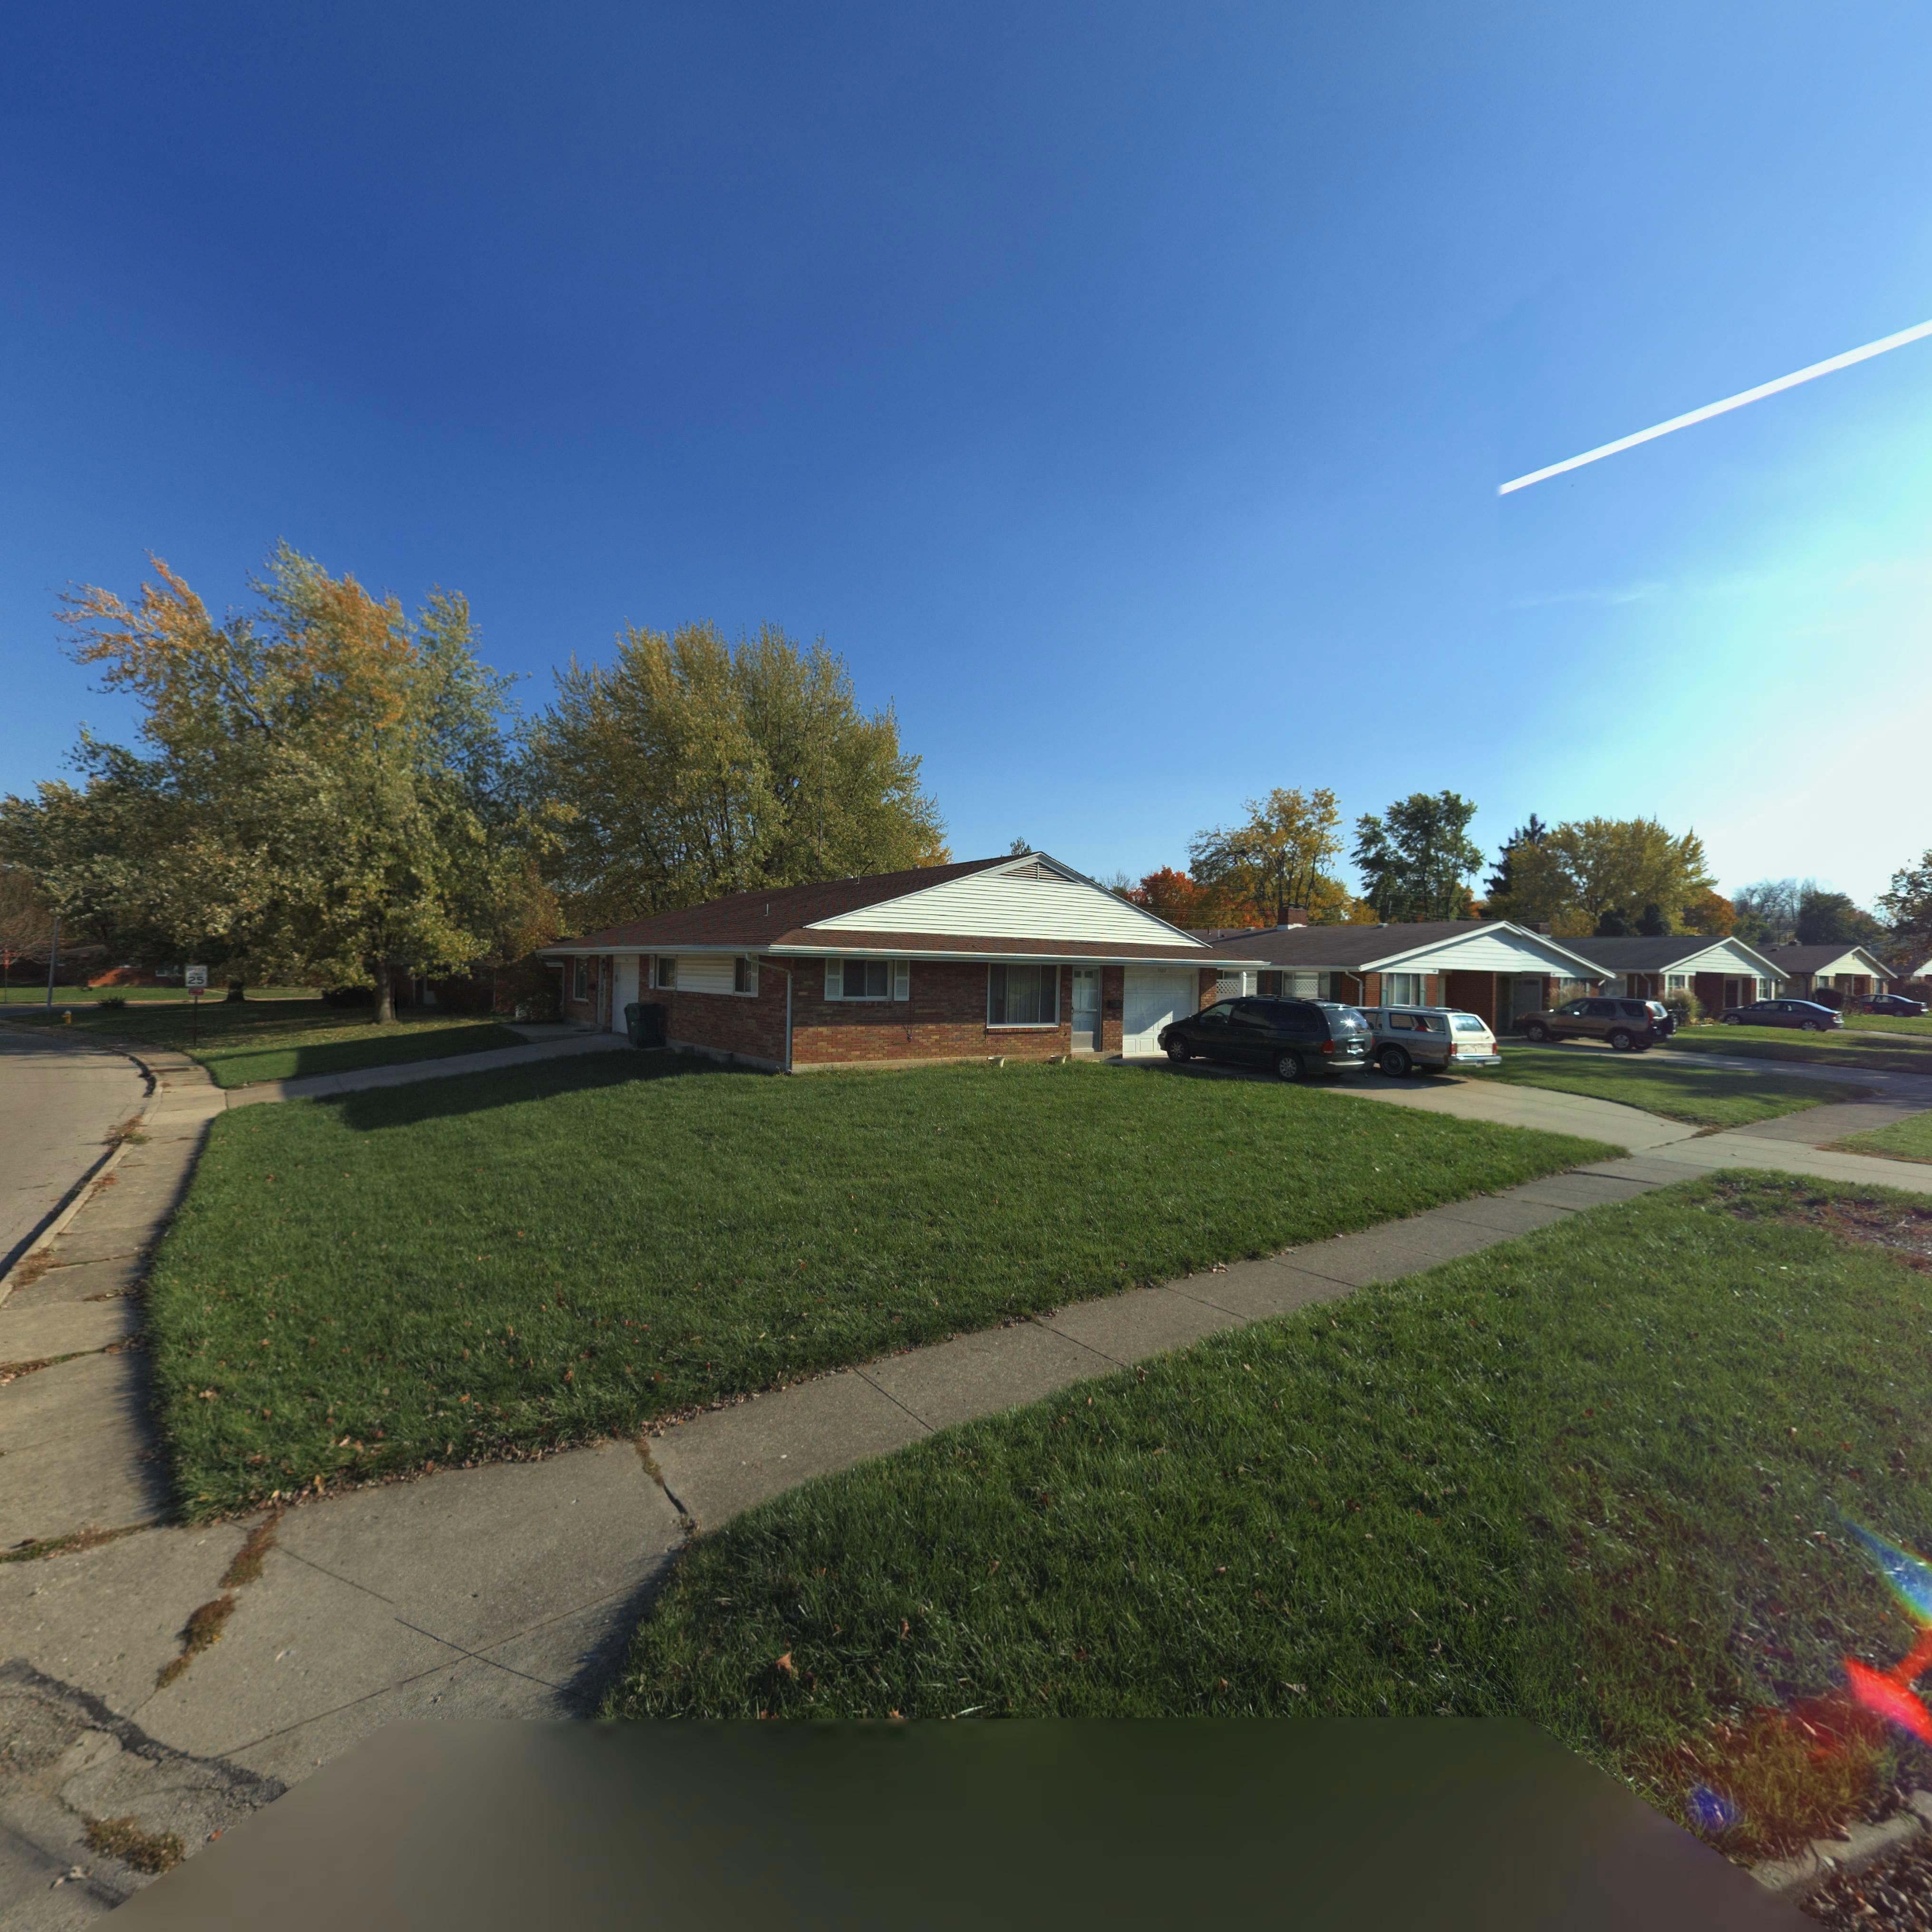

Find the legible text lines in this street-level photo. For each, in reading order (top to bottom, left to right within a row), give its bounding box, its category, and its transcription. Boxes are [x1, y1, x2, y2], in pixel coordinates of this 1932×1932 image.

[1157, 967, 1166, 973] StreetNumber: 3102